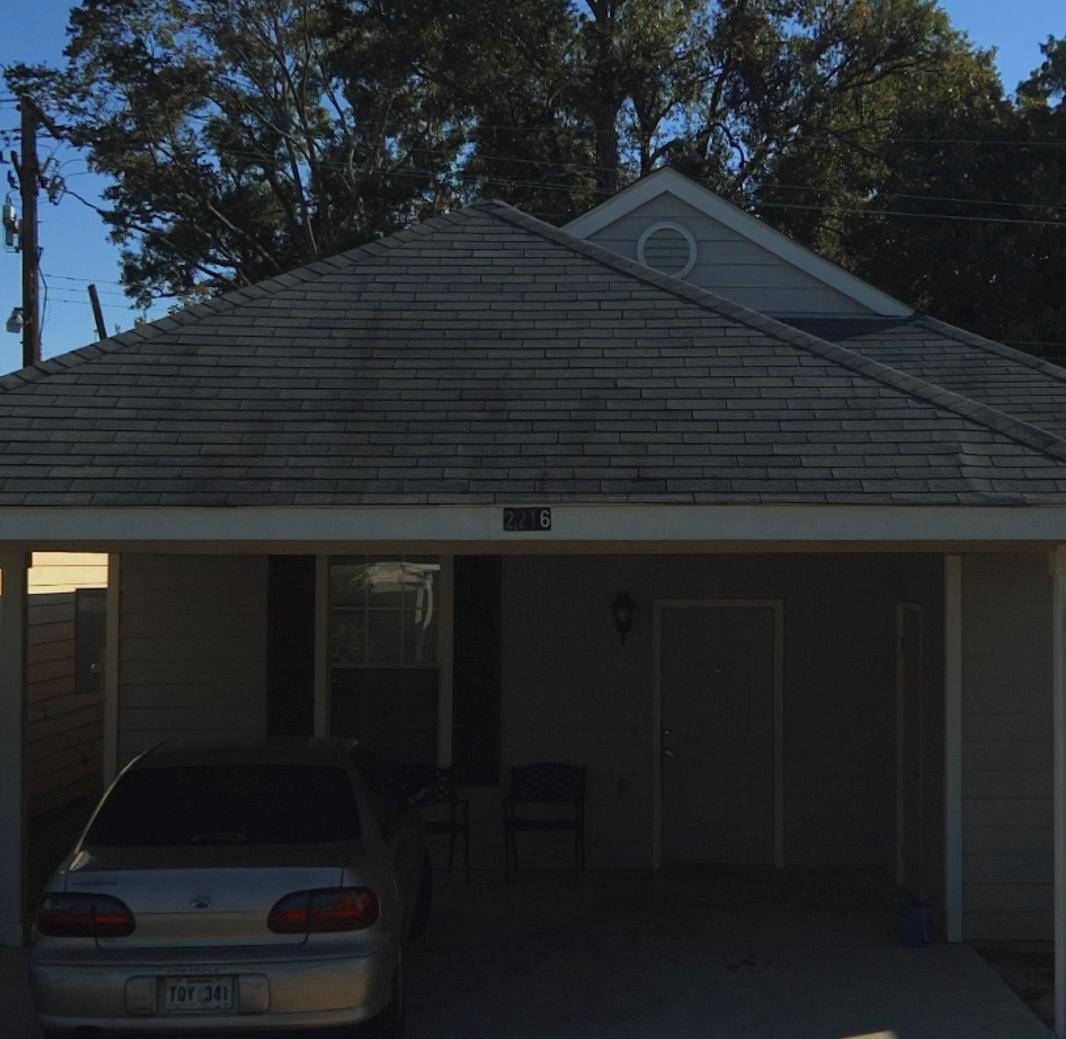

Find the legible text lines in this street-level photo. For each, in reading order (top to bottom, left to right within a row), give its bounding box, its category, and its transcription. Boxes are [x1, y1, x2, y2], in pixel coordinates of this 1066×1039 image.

[504, 509, 551, 530] StreetNumber: 2216
[167, 983, 229, 1004] None: TQY 341